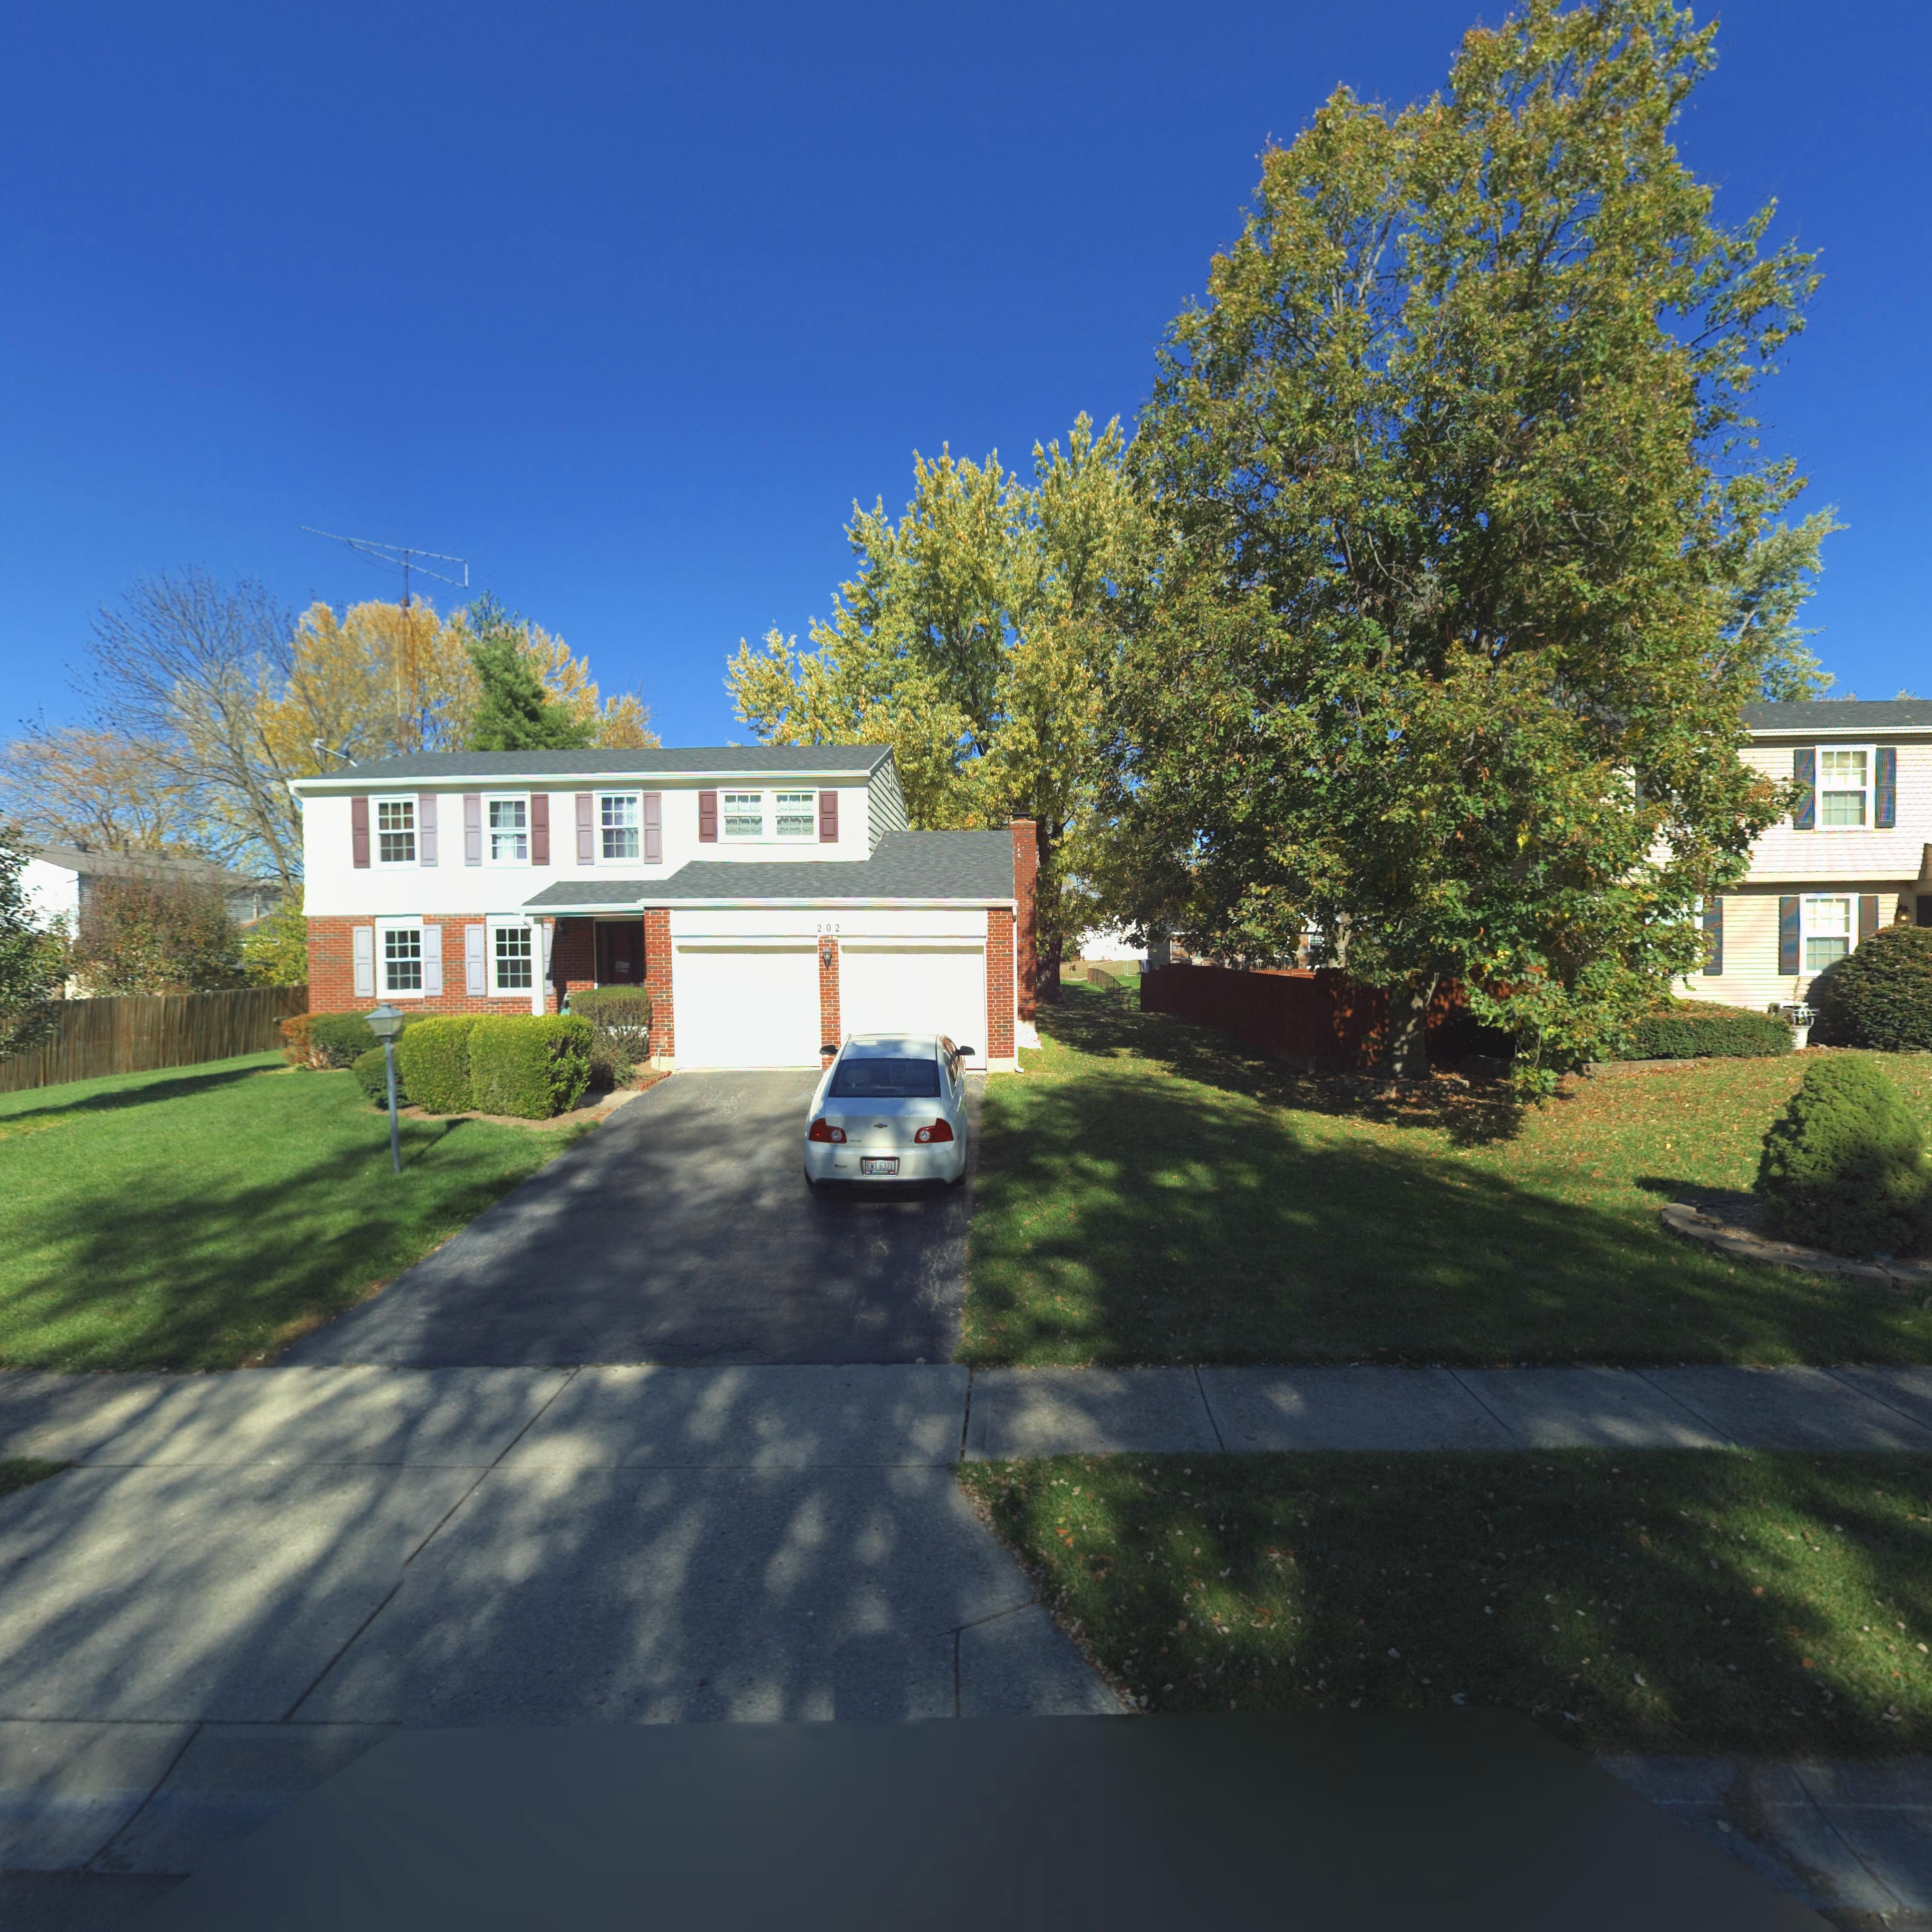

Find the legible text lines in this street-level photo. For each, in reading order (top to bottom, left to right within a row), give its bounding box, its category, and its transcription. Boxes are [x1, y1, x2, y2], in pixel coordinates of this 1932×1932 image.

[816, 923, 840, 933] StreetNumber: 202